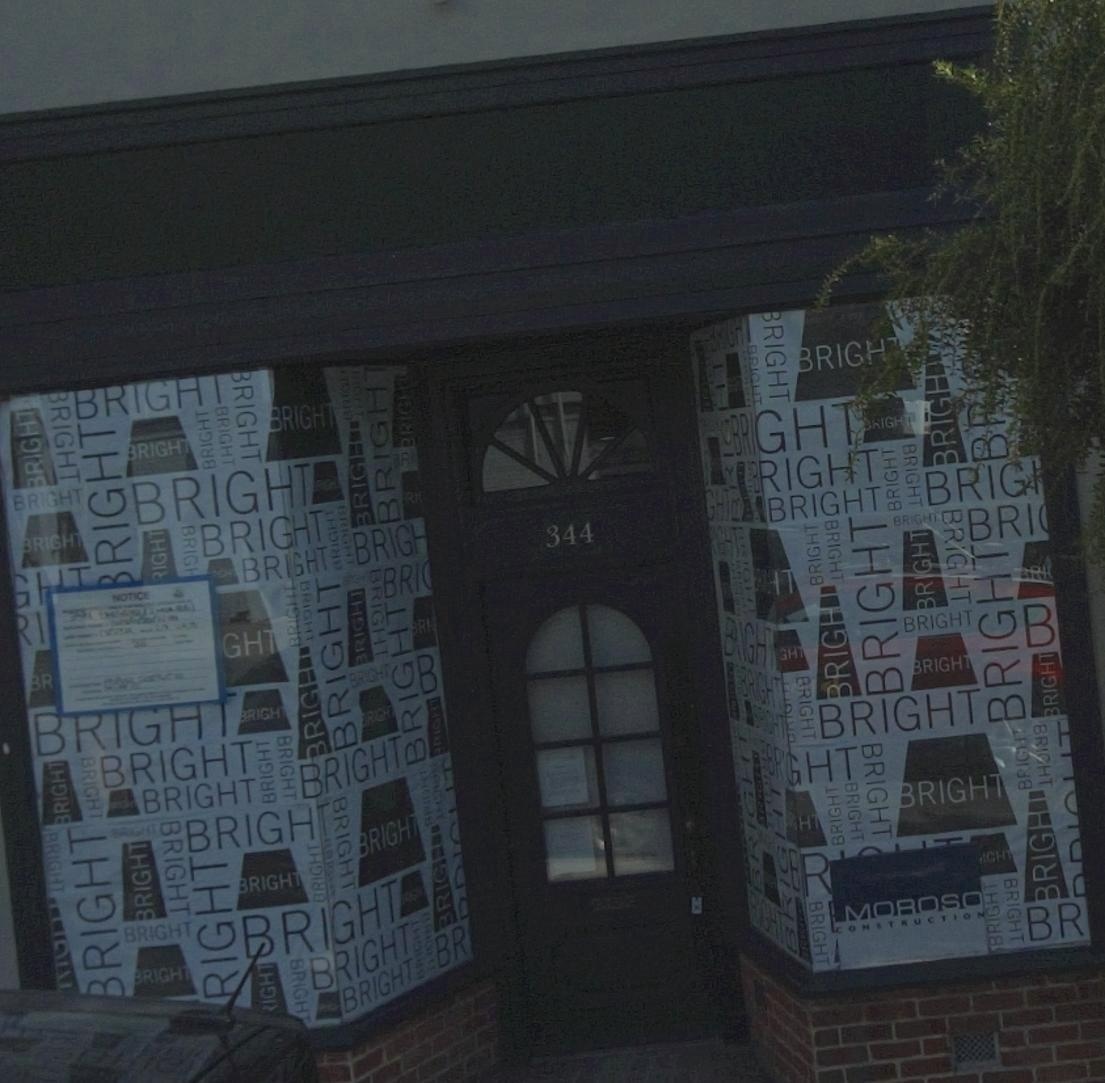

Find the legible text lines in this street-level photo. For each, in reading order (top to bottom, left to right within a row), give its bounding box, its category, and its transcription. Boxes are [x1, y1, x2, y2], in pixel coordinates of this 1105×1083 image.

[758, 322, 793, 405] None: RIGHT
[811, 338, 866, 374] None: RIG
[12, 405, 48, 491] None: BRIGHT
[29, 605, 50, 652] None: I
[37, 669, 57, 692] None: R
[10, 484, 86, 516] None: BRIGHT
[30, 709, 69, 761] None: B
[30, 531, 76, 555] None: RIGH
[41, 829, 68, 898] None: BRIGHT
[46, 759, 73, 826] None: BRIGHT
[45, 388, 84, 488] None: BRIGHT
[76, 753, 105, 816] None: BRIGH
[65, 827, 126, 975] None: BRIGHT
[75, 421, 139, 569] None: RIGHT
[108, 587, 153, 606] None: NOTICE
[108, 819, 161, 843] None: BRIGHT
[124, 839, 158, 923] None: BRIGHT
[72, 367, 227, 423] None: BRIGHT
[120, 916, 196, 949] None: BRIGHT
[146, 529, 171, 573] None: IGHT
[130, 962, 195, 989] None: BRIGHT
[134, 436, 193, 463] None: RIGHT
[97, 737, 255, 793] None: BRIGHT
[158, 816, 194, 921] None: BRIGHT
[178, 523, 201, 569] None: BRIG
[140, 775, 258, 817] None: BRIGHT
[193, 408, 220, 473] None: BRIGHT
[187, 854, 243, 1001] None: RIGHT
[130, 459, 313, 532] None: BRIG*T
[211, 403, 239, 470] None: BRIGHT
[228, 368, 265, 466] None: BRIGHT
[219, 626, 279, 664] None: GHT
[184, 799, 334, 856] None: BRIGHT
[199, 507, 325, 562] None: BRI*HT
[245, 703, 283, 725] None: RIGH
[254, 737, 280, 806] None: BRIGHT
[254, 961, 280, 1008] None: IGHT
[231, 866, 307, 901] None: BRIGHT
[240, 543, 331, 586] None: BRI*HT
[274, 732, 301, 804] None: BRIGHT
[284, 955, 314, 1018] None: BRIGH
[297, 576, 319, 644] None: BRIGHT
[280, 399, 337, 435] None: RIGHT
[295, 664, 330, 743] None: RIGH
[305, 841, 327, 905] None: BRIGHT
[239, 874, 400, 962] None: BRI*HT
[323, 515, 346, 573] None: BRIGH
[313, 572, 363, 752] None: BRIGHT
[330, 793, 359, 893] None: BRIGHT
[335, 501, 358, 569] None: BRIGHT
[297, 731, 404, 804] None: BRIGHT
[346, 588, 372, 668] None: BRIGHT
[308, 918, 412, 994] None: B*IGHT
[346, 435, 376, 530] None: BRIGH
[346, 660, 391, 692] None: BRIGHT
[366, 566, 390, 659] None: BRIGHT
[363, 700, 393, 731] None: R*GH
[339, 953, 417, 1018] None: BRIGHT
[362, 383, 406, 527] None: BRIGH
[350, 520, 418, 567] None: BRIG
[367, 813, 415, 856] None: RIGH
[381, 559, 423, 602] None: BRI
[383, 603, 430, 770] None: BRIGHT
[397, 413, 418, 451] None: BRI
[403, 486, 419, 510] None: R
[414, 616, 430, 637] None: R
[413, 651, 441, 698] None: B
[427, 696, 447, 750] None: RIGHT
[428, 840, 458, 931] None: BRIGH
[431, 923, 473, 973] None: BR
[543, 518, 598, 552] StreetNumber: 344
[711, 486, 727, 524] None: H
[721, 447, 743, 524] None: BRI
[721, 613, 770, 670] None: B**GH
[735, 725, 765, 899] None: BRIGHT
[737, 661, 785, 715] None: BRIGHT
[767, 779, 800, 959] None: BRIGHT
[784, 645, 801, 662] None: H
[727, 397, 861, 459] None: S
[796, 812, 814, 834] None: H
[792, 671, 821, 745] None: BRIGHT
[764, 738, 861, 792] None: BR**HT
[800, 520, 828, 589] None: BRIGHT
[798, 850, 836, 900] None: R
[806, 899, 834, 970] None: BRIGHT
[766, 483, 884, 525] None: BRIGHT
[781, 446, 881, 496] None: IGHT
[822, 517, 848, 585] None: BRIGHT
[823, 783, 849, 849] None: BRIGHT
[817, 603, 856, 702] None: BRIGH
[842, 780, 867, 845] None: BRIGHT
[845, 514, 908, 698] None: BRIGHT
[859, 740, 896, 843] None: BRIGHT
[879, 446, 905, 513] None: BRIGHT
[879, 413, 907, 431] None: IGH
[817, 685, 984, 741] None: BRIGHT
[834, 908, 986, 937] None: CONSTRUCTION
[899, 441, 926, 510] None: BRIGHT
[842, 888, 984, 925] None: MOROSO
[888, 509, 942, 530] None: BRIGHT
[907, 529, 938, 598] None: RIGHT
[901, 606, 974, 636] None: BRIGHT
[919, 652, 966, 676] None: RIGH
[923, 370, 963, 468] None: BRIGH
[916, 770, 993, 810] None: RIGH
[940, 507, 974, 607] None: BRIGHT
[922, 461, 1002, 509] None: BRI
[979, 879, 1007, 950] None: BRIGHT
[984, 847, 1009, 867] None: GH
[968, 542, 1030, 726] None: BRIGHT
[966, 500, 1037, 544] None: BRI
[1001, 875, 1028, 946] None: BRIGHT
[1010, 727, 1034, 792] None: BRIGHT
[1021, 600, 1058, 651] None: B
[1032, 722, 1055, 790] None: BRIGHT
[1026, 807, 1061, 885] None: RIGH
[1036, 652, 1062, 708] None: RIGHT
[1023, 899, 1087, 944] None: BR